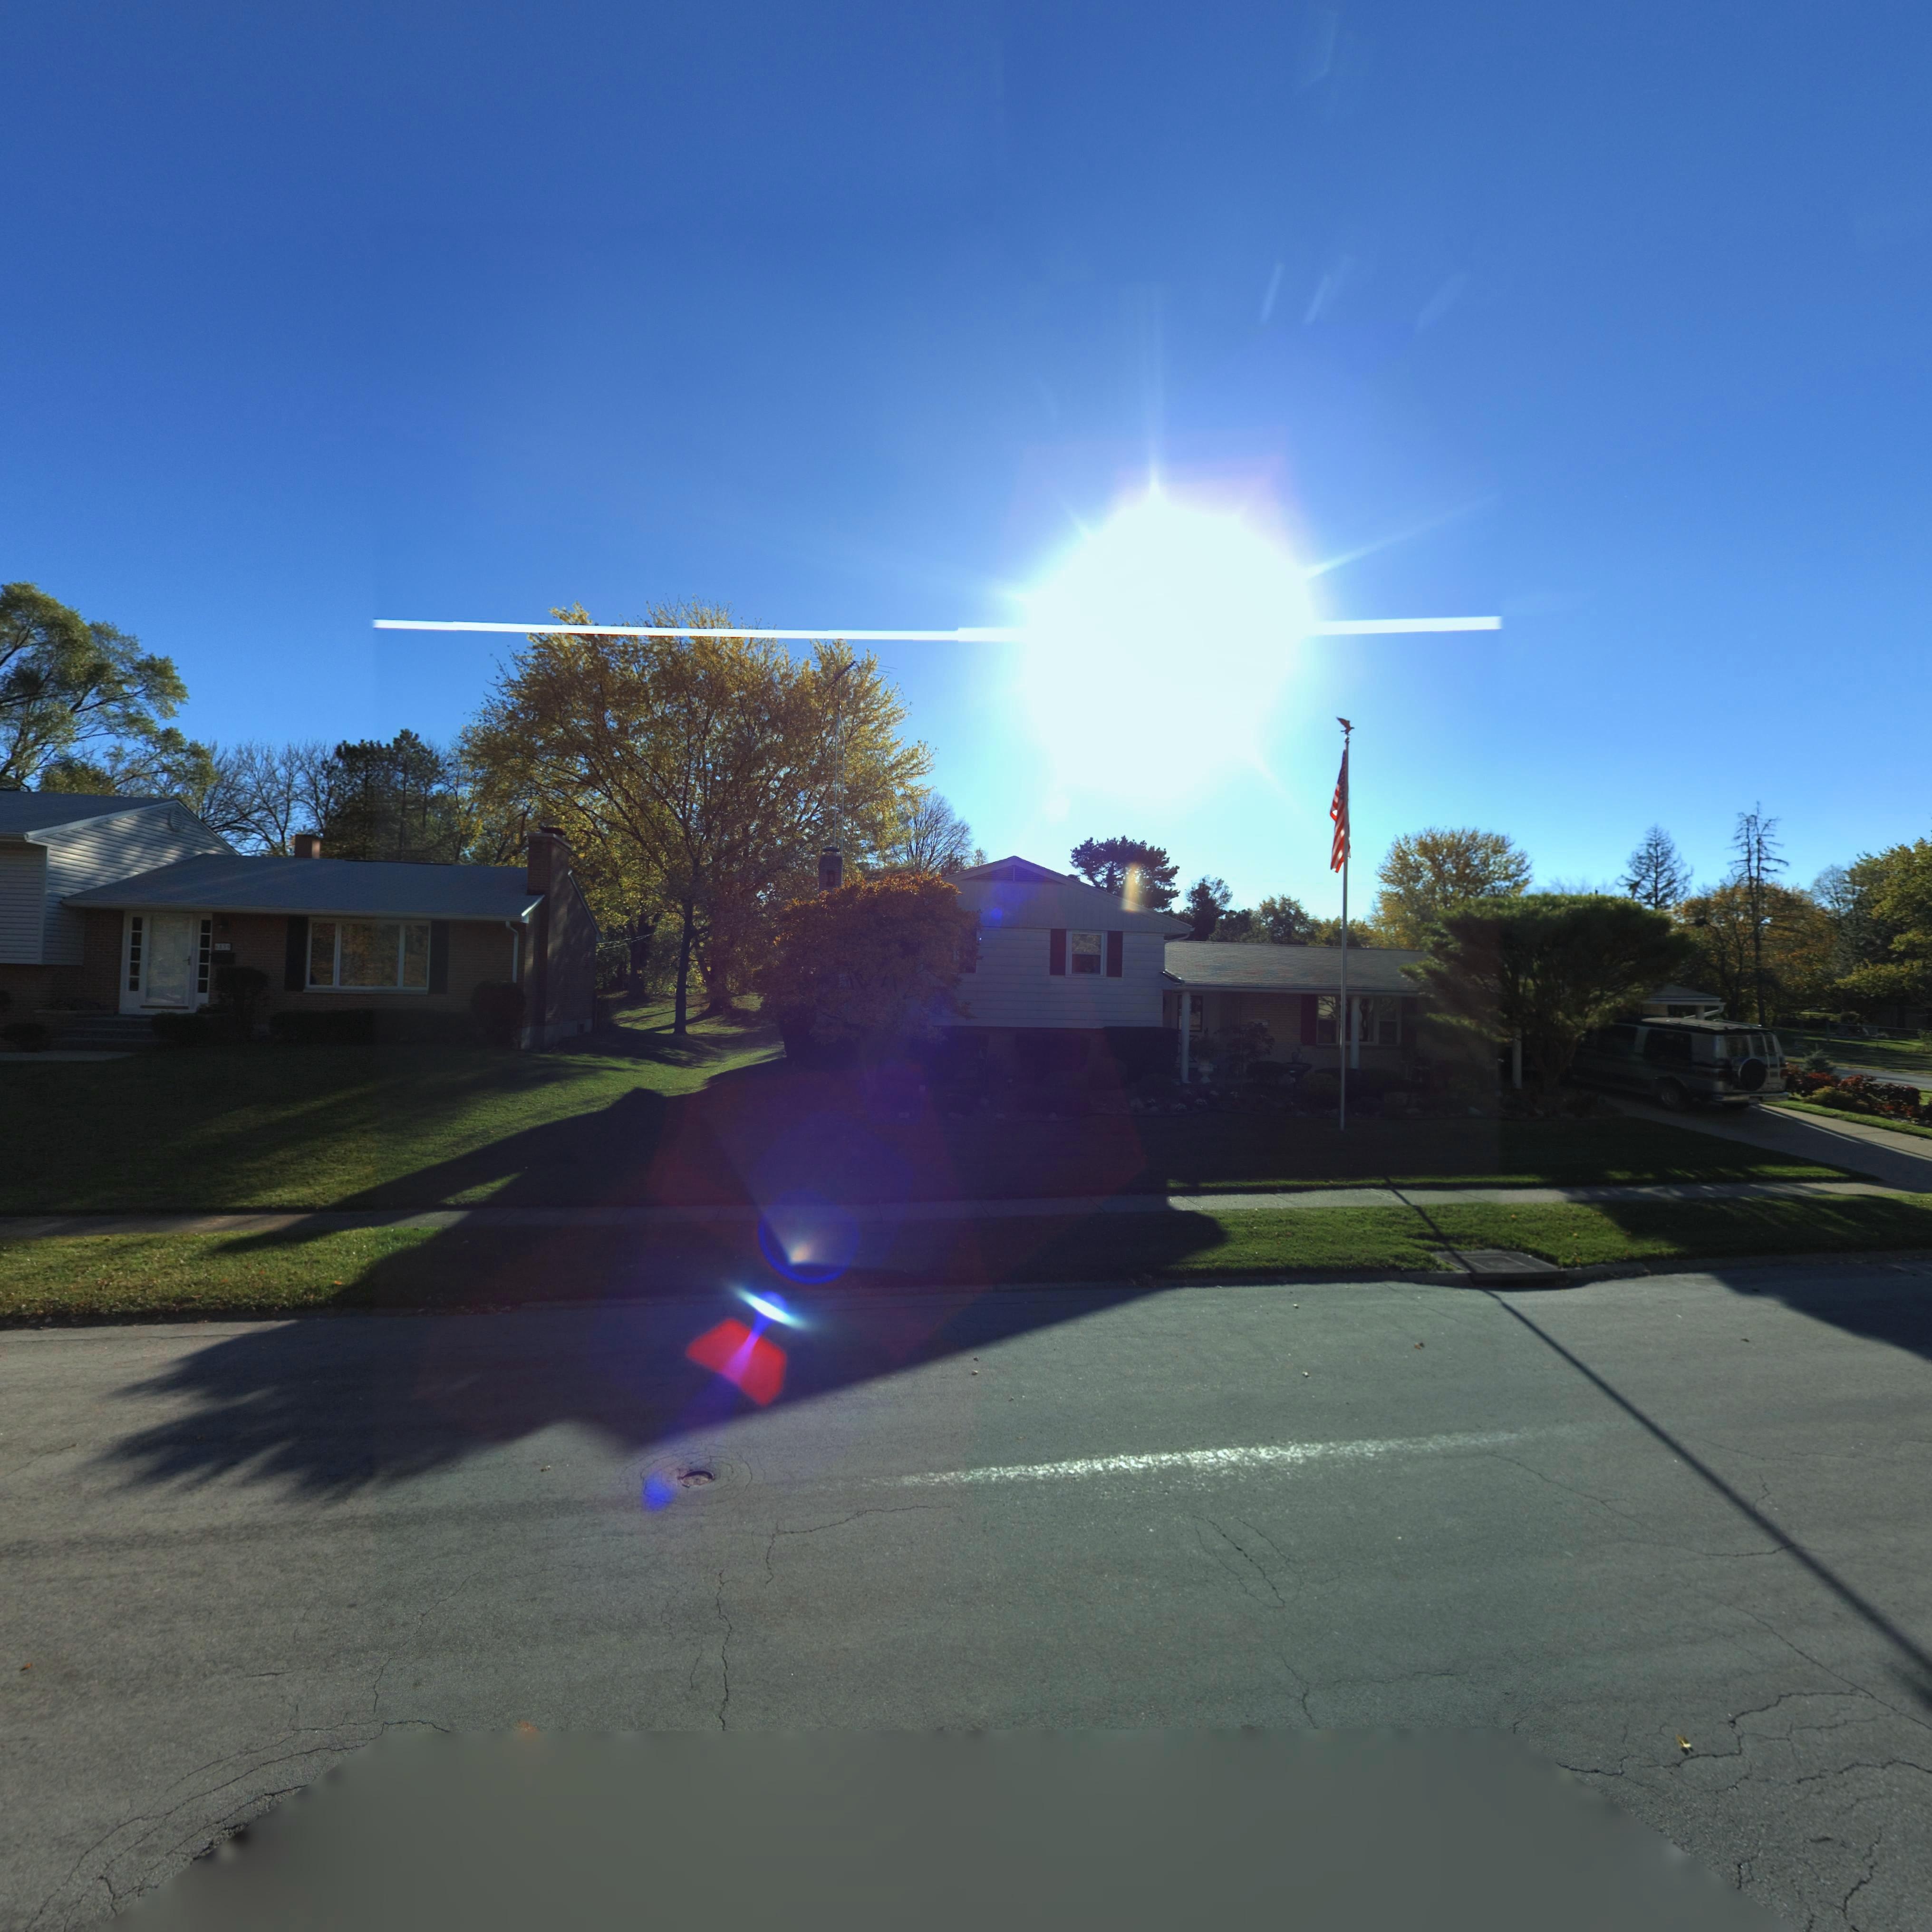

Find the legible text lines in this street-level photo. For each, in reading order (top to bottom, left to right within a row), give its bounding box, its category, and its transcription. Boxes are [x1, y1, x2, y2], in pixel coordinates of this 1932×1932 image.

[214, 943, 231, 950] StreetNumber: 6835